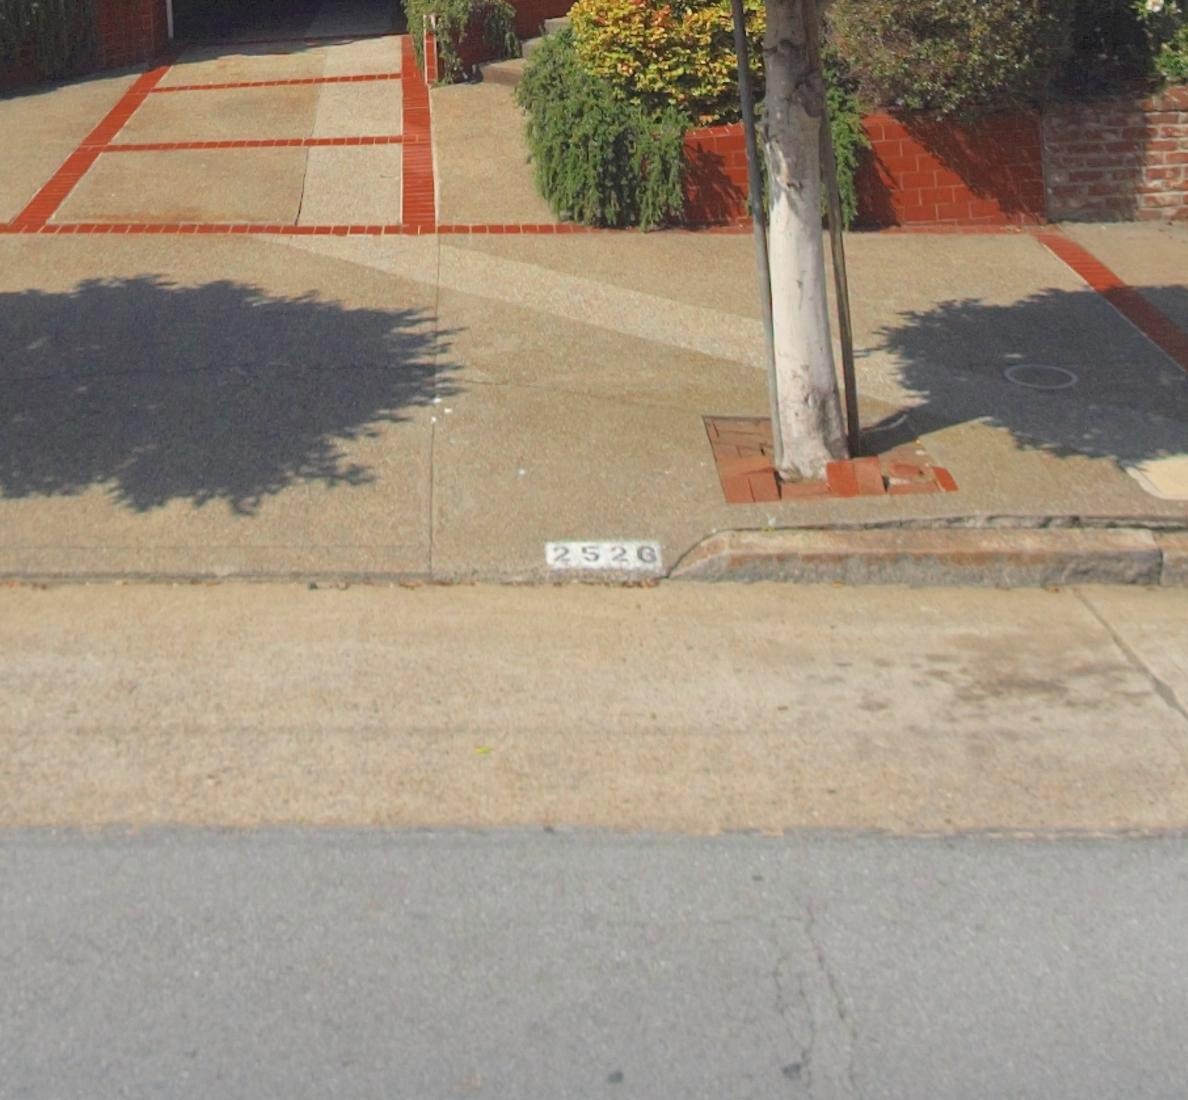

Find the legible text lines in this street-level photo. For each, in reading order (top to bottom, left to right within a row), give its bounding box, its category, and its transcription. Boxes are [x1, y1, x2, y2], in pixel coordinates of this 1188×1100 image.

[552, 545, 658, 564] StreetNumber: 252G